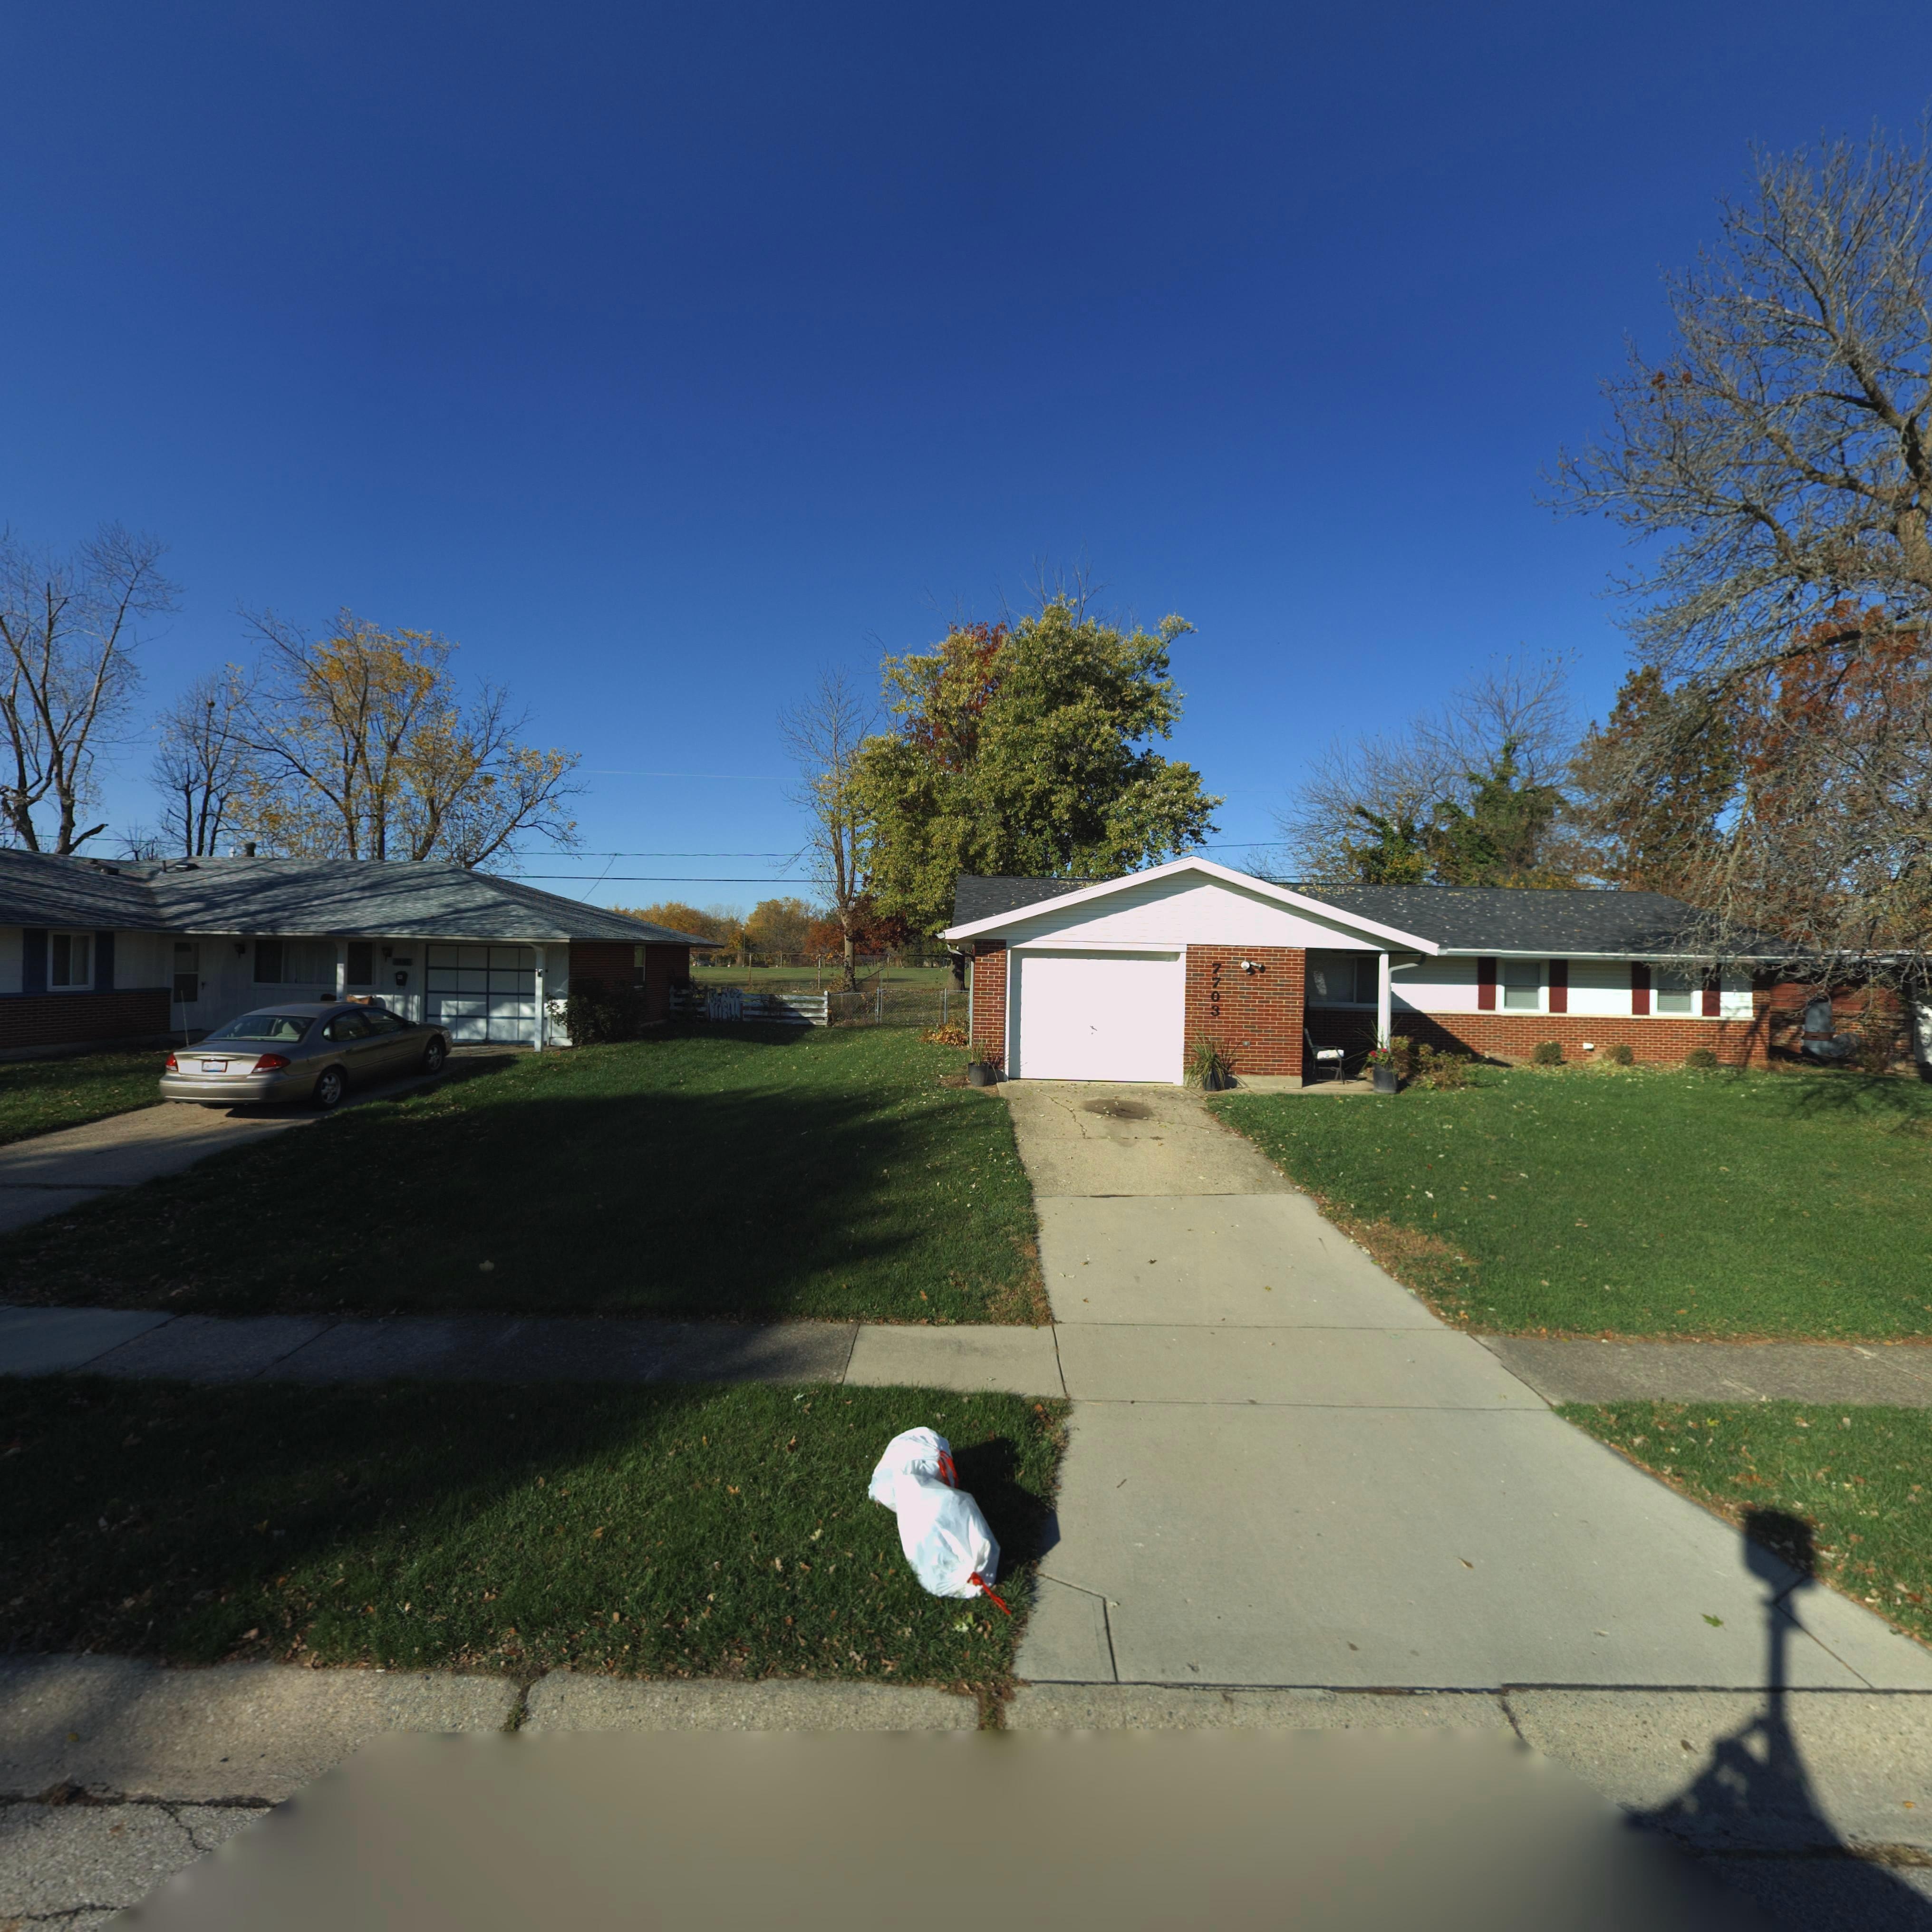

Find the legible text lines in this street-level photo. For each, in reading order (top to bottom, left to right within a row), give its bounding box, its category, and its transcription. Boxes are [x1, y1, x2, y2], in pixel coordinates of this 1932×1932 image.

[1209, 962, 1223, 1018] StreetNumber: 7703